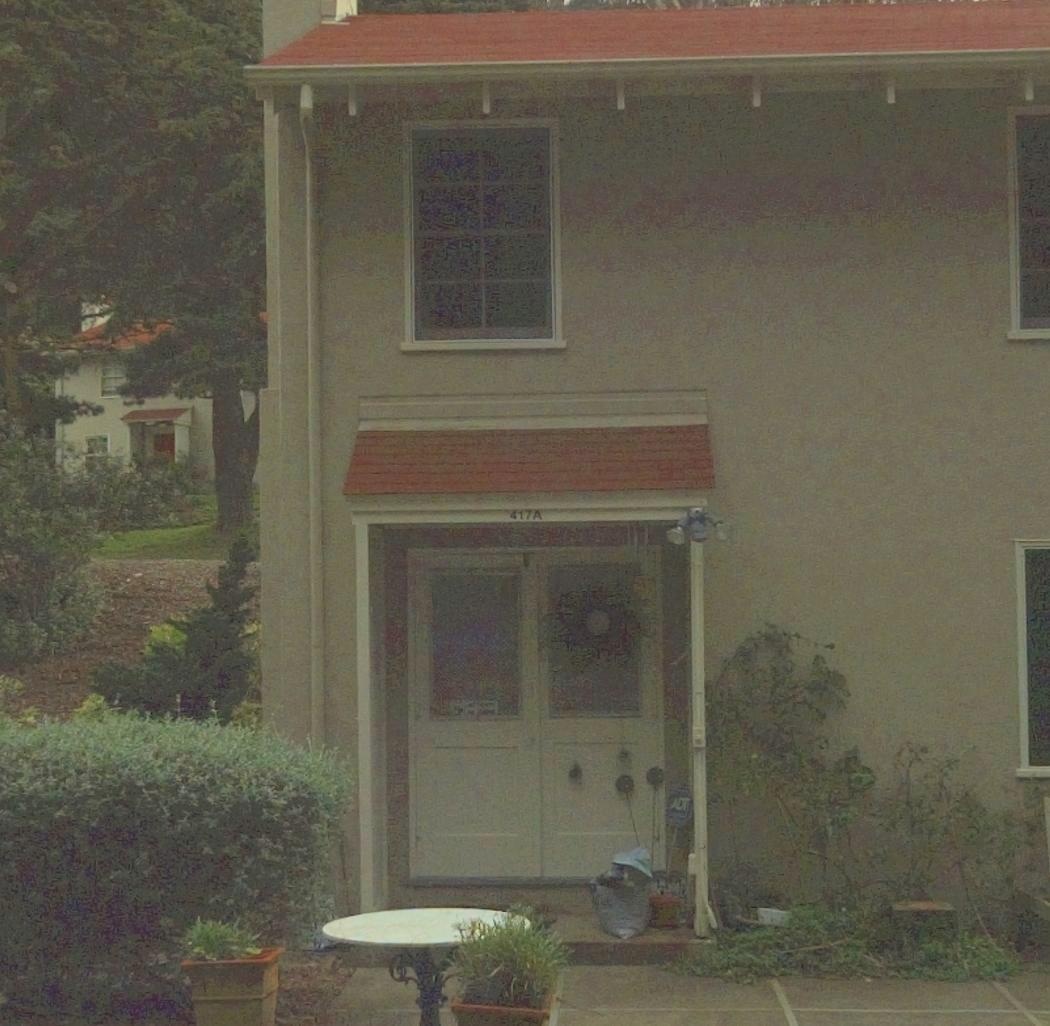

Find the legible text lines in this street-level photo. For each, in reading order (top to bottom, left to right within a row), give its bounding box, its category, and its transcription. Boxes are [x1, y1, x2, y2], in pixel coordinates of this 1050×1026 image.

[509, 508, 544, 521] StreetNumber: 417A
[668, 796, 692, 812] None: ADT